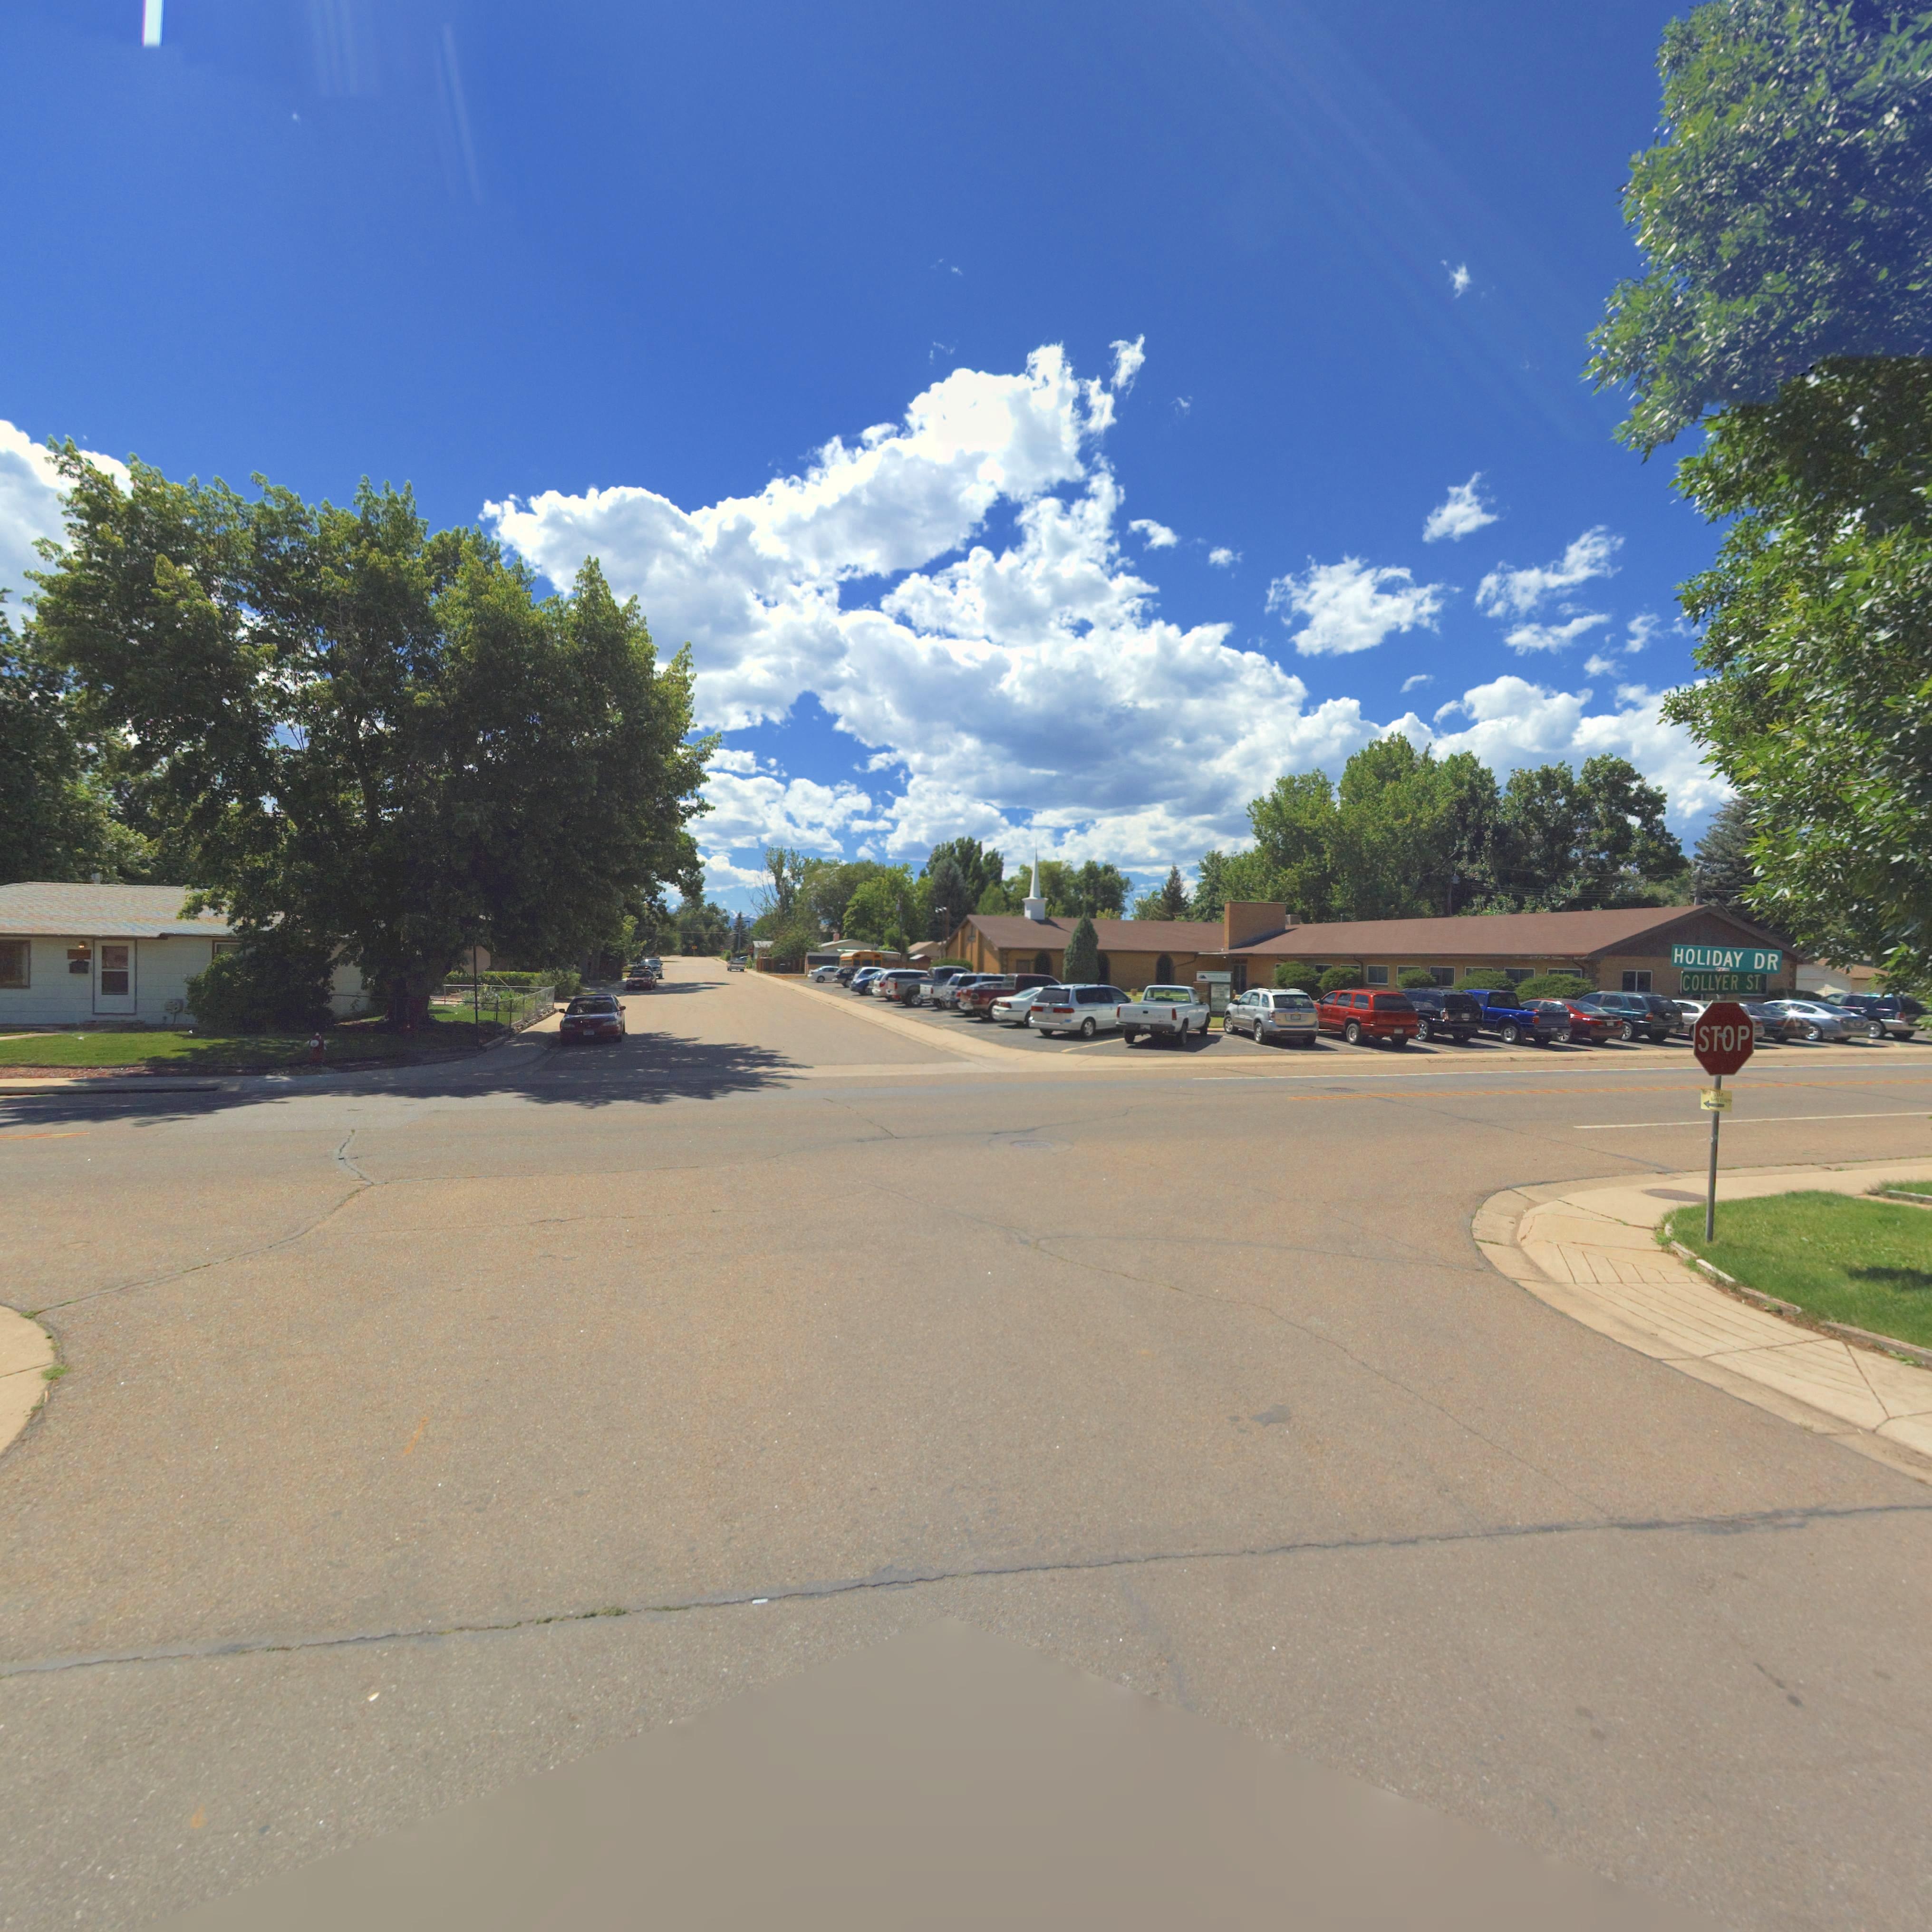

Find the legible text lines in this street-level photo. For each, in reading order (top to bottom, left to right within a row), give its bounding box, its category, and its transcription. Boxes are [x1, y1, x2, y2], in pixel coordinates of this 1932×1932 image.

[1673, 947, 1778, 971] StreetName: HOLIDAY DR
[1681, 974, 1761, 991] StreetName: COLLYER ST